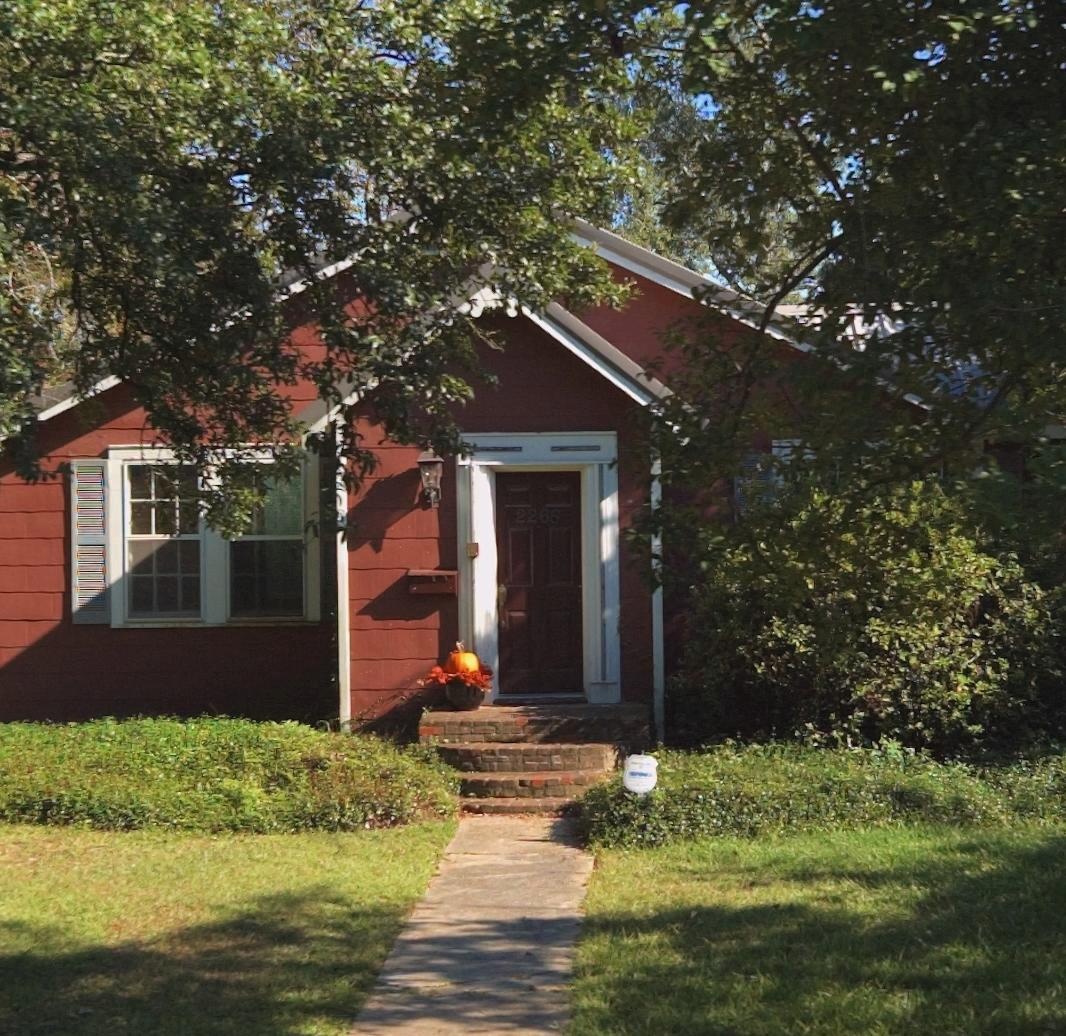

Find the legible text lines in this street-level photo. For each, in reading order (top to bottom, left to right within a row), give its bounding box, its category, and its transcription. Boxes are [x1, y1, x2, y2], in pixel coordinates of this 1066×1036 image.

[514, 507, 562, 525] StreetNumber: 2266